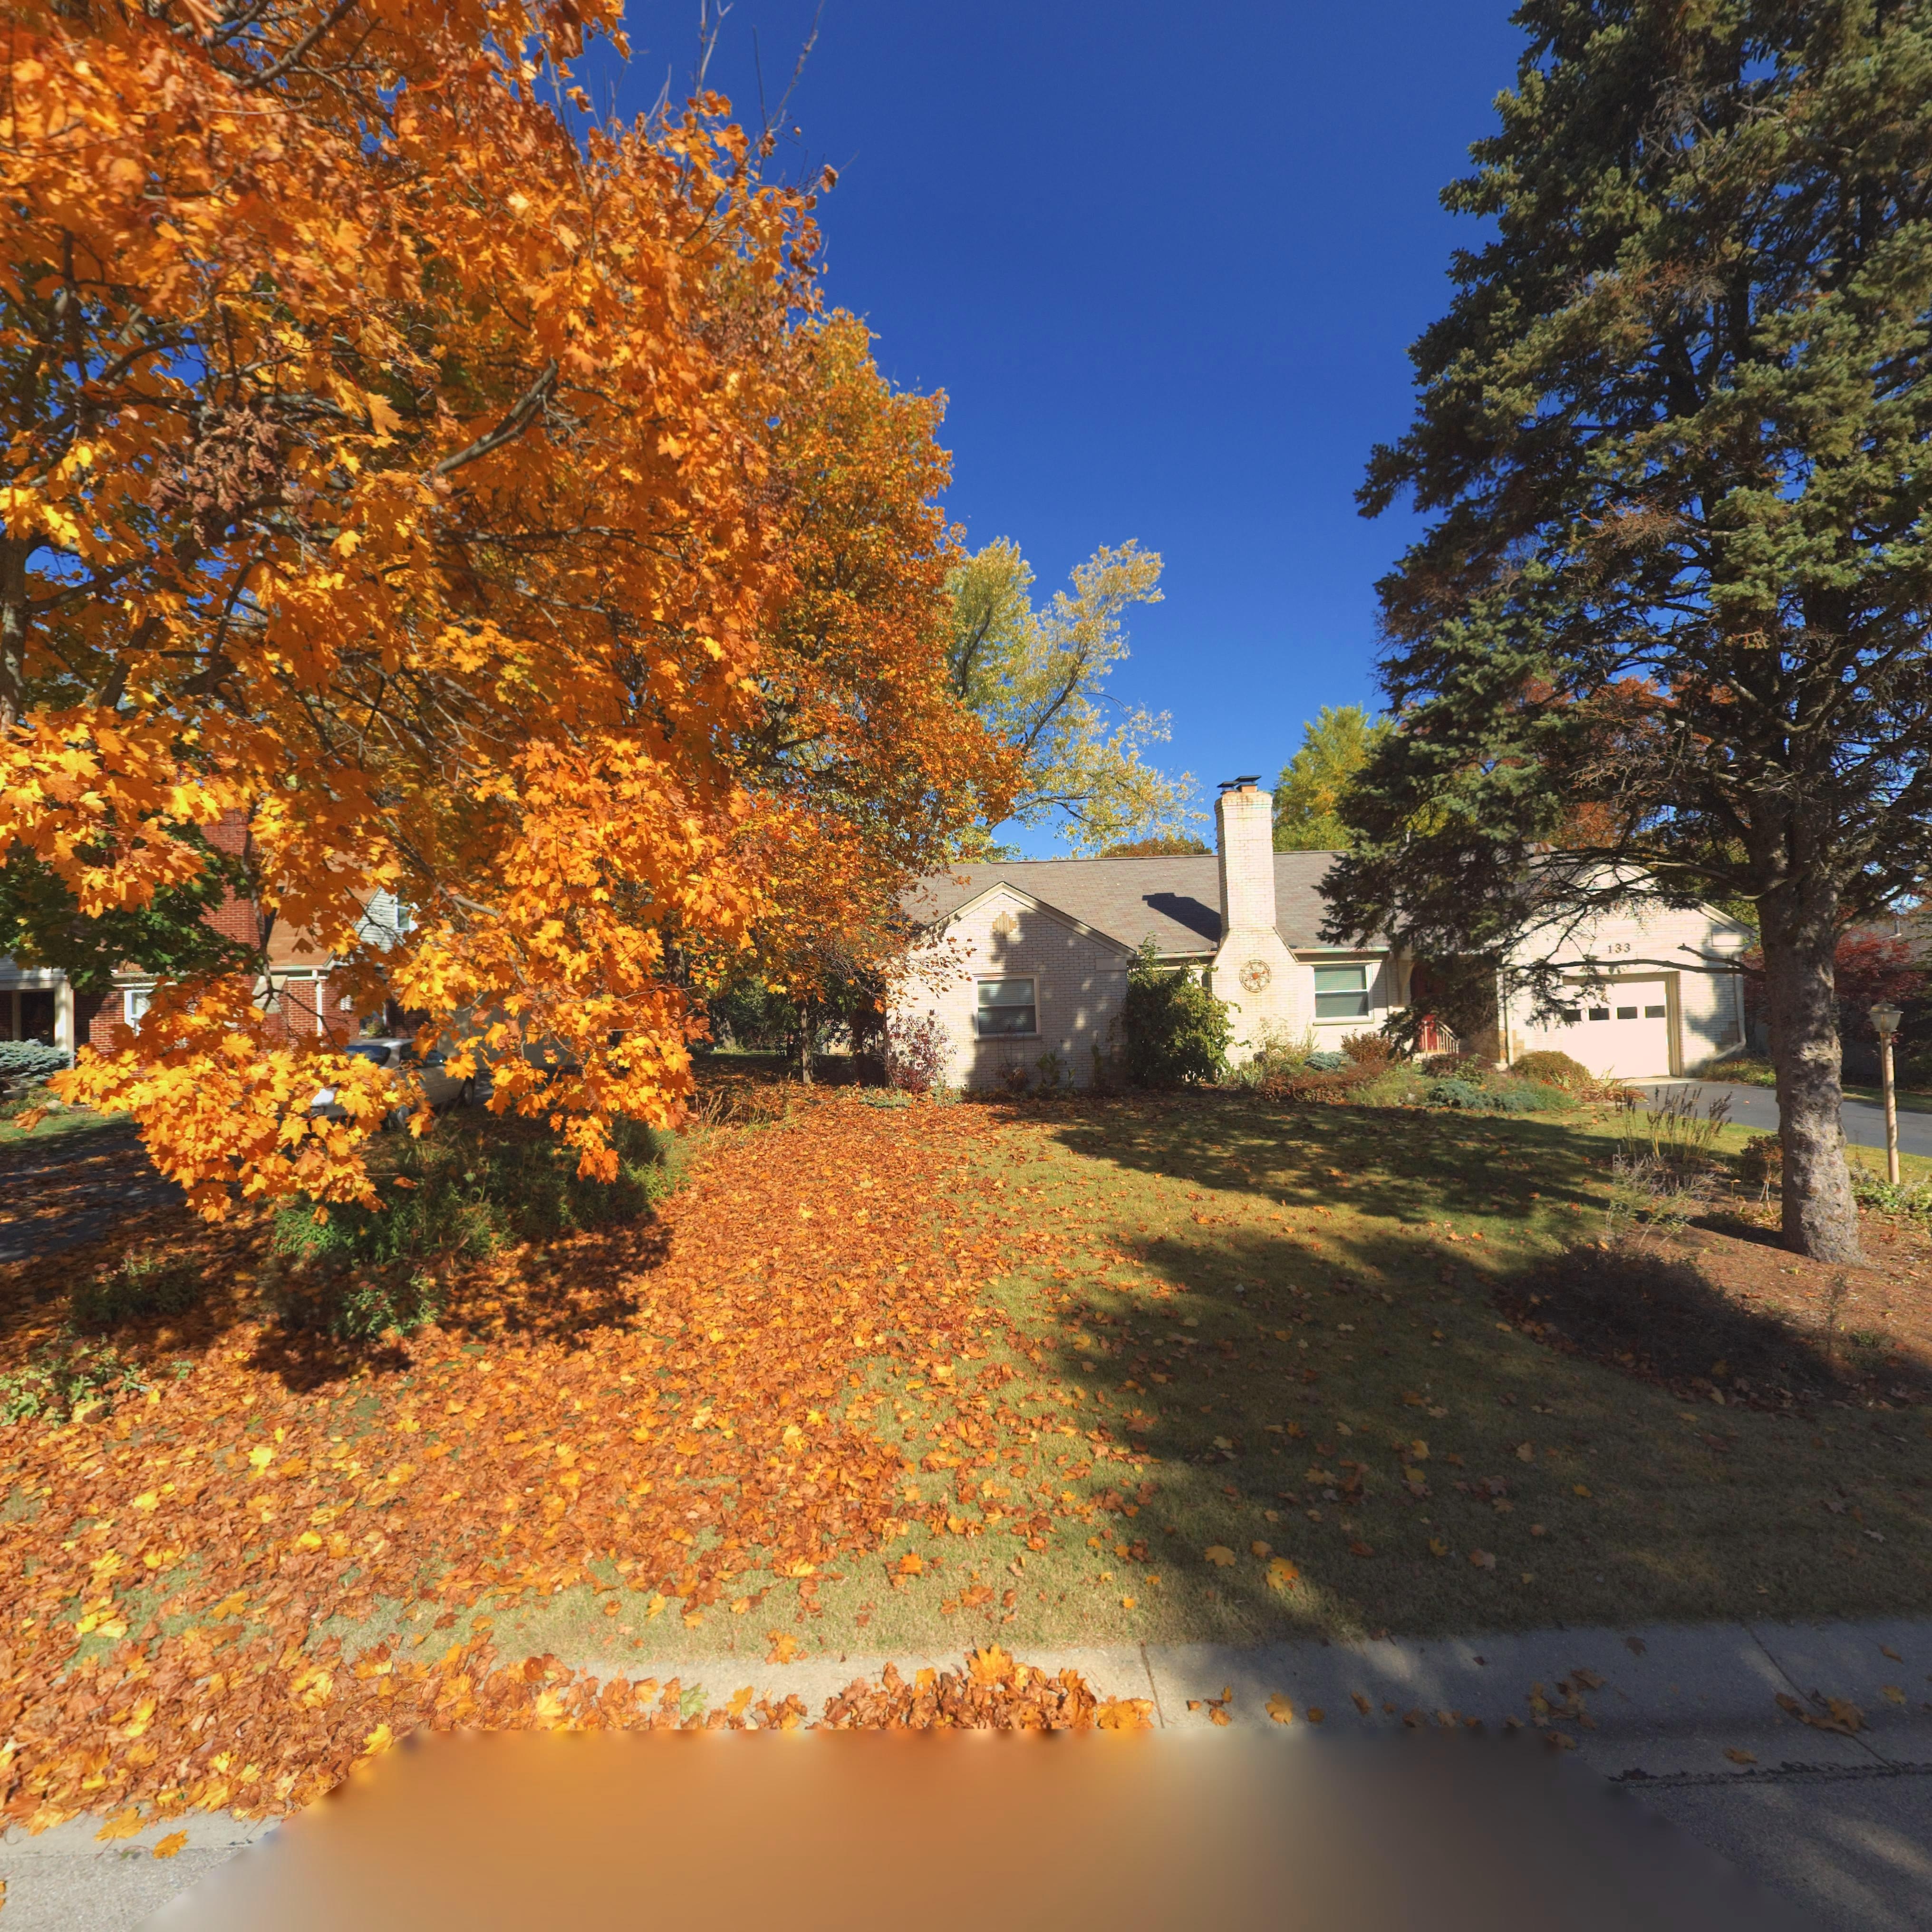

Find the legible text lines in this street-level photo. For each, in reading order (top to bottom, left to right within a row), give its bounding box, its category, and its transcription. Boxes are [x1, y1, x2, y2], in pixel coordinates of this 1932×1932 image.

[1607, 943, 1632, 954] StreetNumber: 133